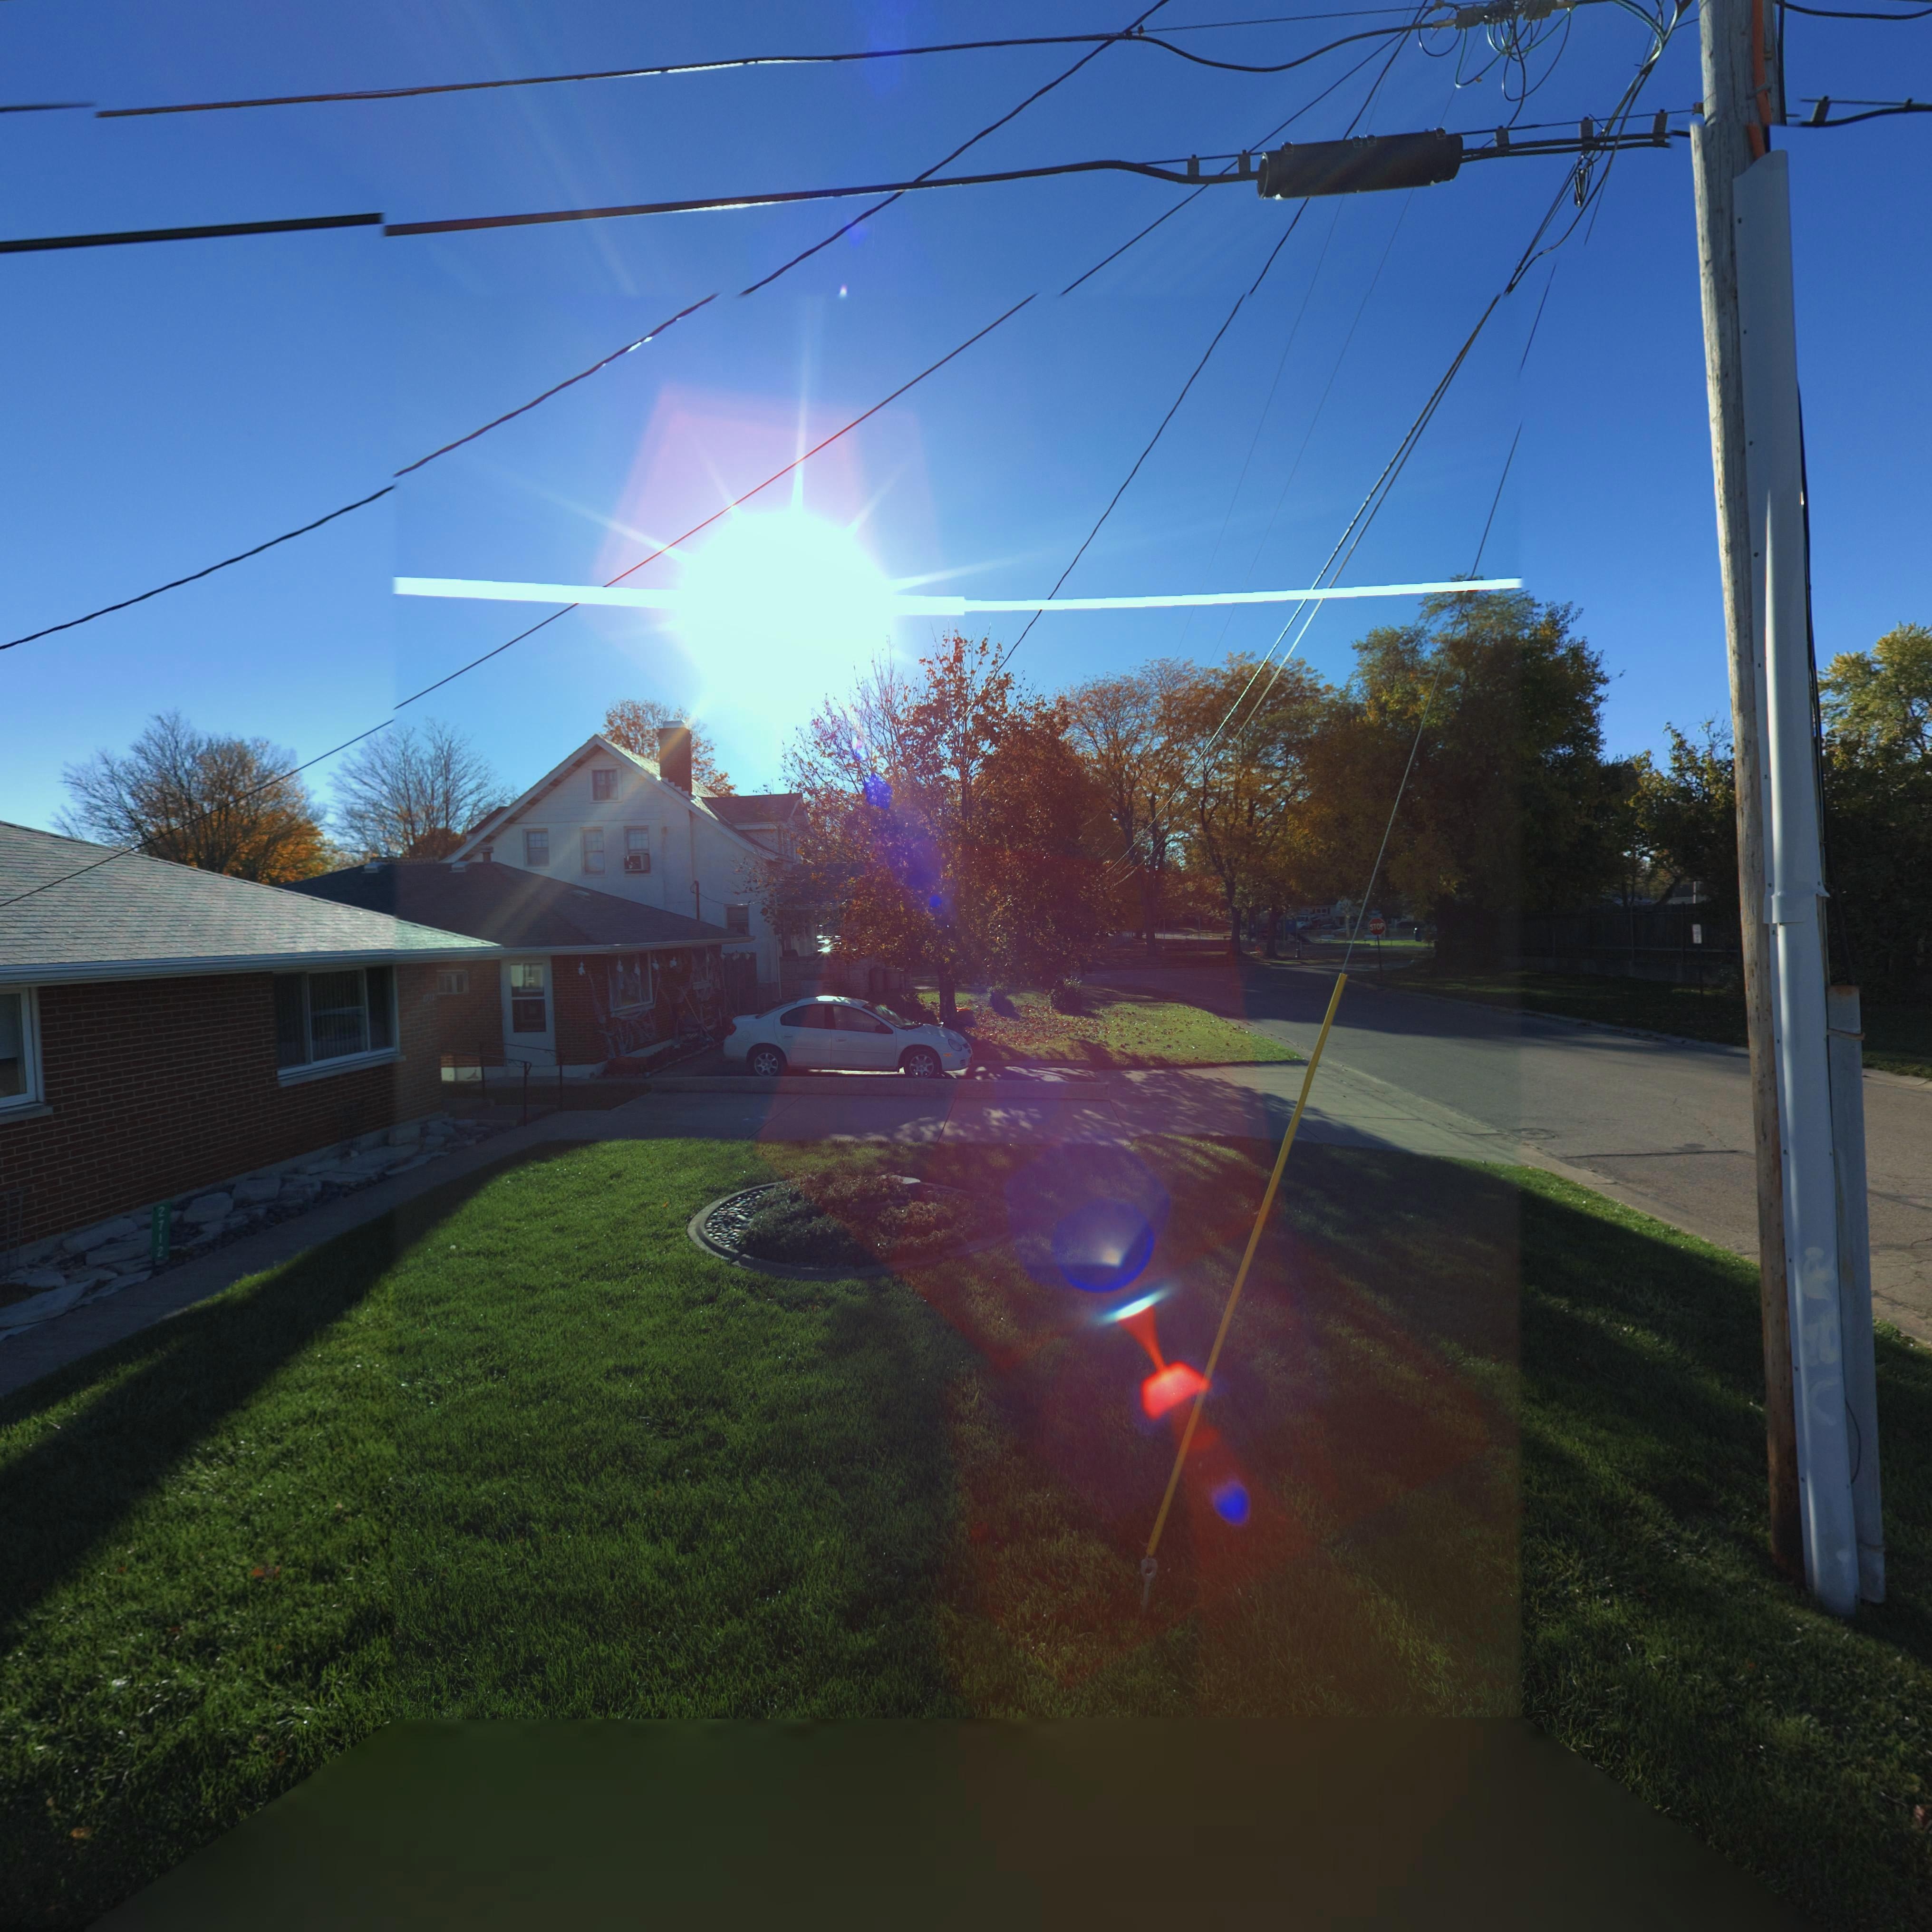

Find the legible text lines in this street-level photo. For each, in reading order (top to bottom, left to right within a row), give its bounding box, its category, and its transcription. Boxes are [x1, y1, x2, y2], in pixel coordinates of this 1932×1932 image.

[156, 1204, 166, 1258] StreetNumber: 2712